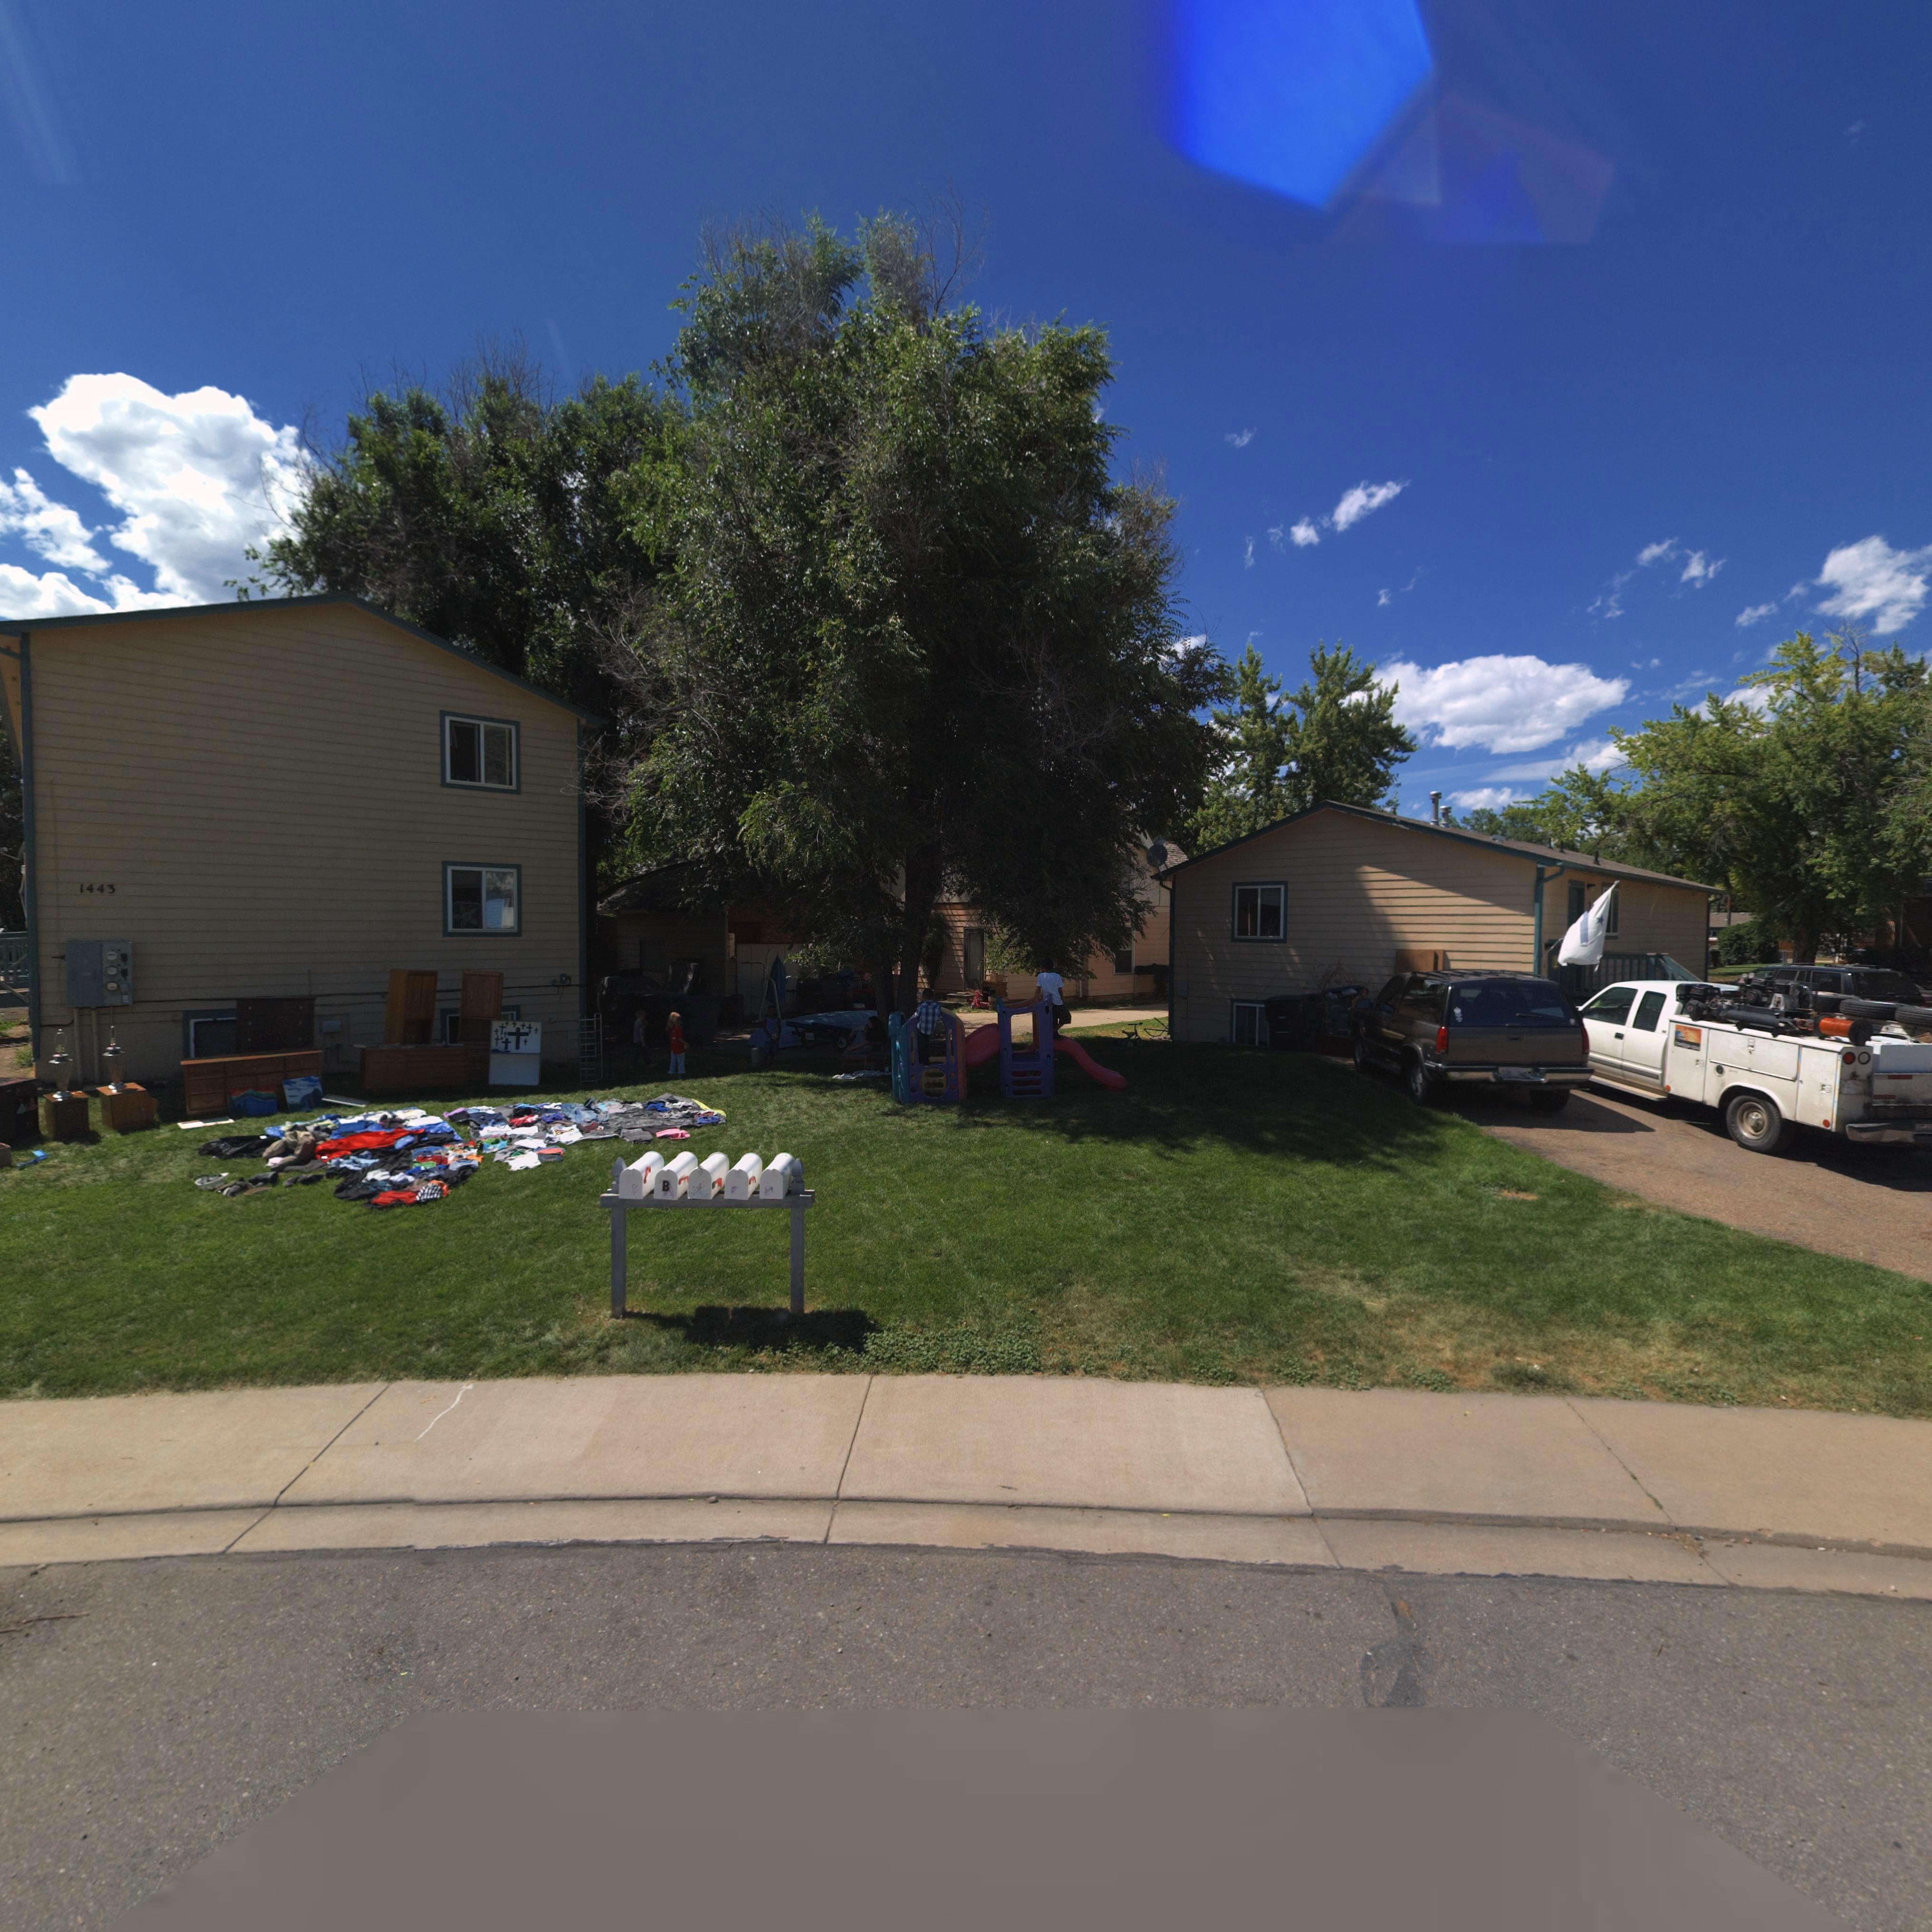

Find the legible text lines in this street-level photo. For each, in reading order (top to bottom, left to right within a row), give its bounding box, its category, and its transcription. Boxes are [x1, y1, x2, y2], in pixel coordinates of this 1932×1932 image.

[79, 883, 115, 894] StreetNumber: 1443